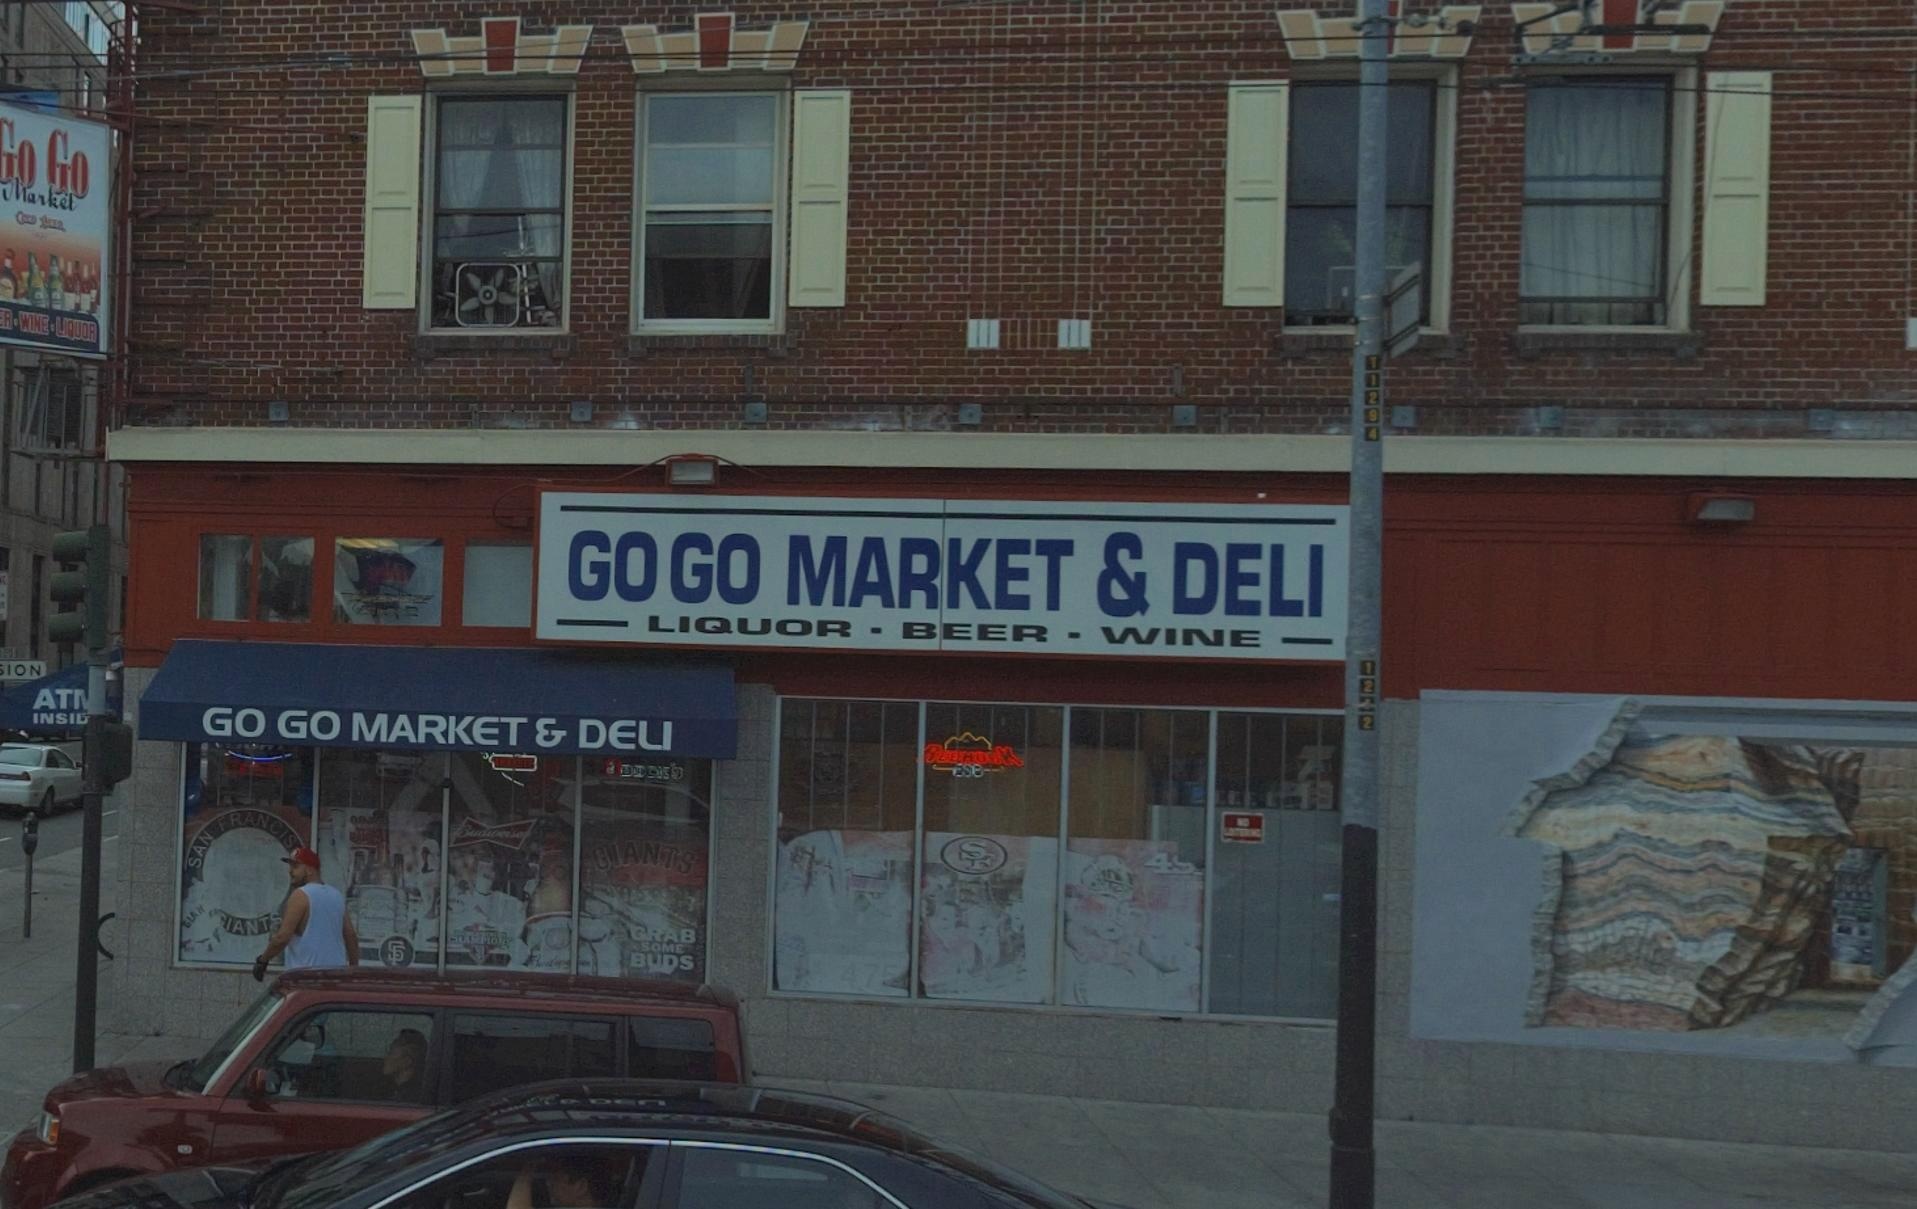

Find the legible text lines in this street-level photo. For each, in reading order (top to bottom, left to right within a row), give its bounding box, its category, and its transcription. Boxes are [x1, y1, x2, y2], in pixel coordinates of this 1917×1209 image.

[14, 126, 90, 200] BusinessName: O Go
[7, 173, 80, 216] BusinessName: Market
[3, 305, 100, 346] None: R*WINE*LIQUOR
[1364, 354, 1381, 442] None: T1294
[562, 526, 1330, 623] BusinessName: Go Go MARKET & DELI
[645, 612, 1266, 651] None: LIQUR * BEER * WINE
[5, 661, 44, 679] StreetName: ION
[30, 685, 75, 712] None: AT
[1359, 658, 1375, 732] None: 12*2
[31, 711, 76, 727] None: INSI
[199, 704, 675, 753] BusinessName: GO GO MARKET & DELI
[1234, 815, 1251, 829] None: NO
[184, 809, 301, 870] None: SAN FRANCIS
[587, 838, 699, 879] None: GIANTS
[1140, 850, 1175, 876] None: 4
[183, 901, 208, 924] None: LAN
[222, 914, 271, 937] None: IANT
[487, 935, 501, 949] None: O
[628, 949, 697, 973] None: BUDS
[627, 923, 699, 946] None: GRAB
[639, 941, 687, 956] None: SOME